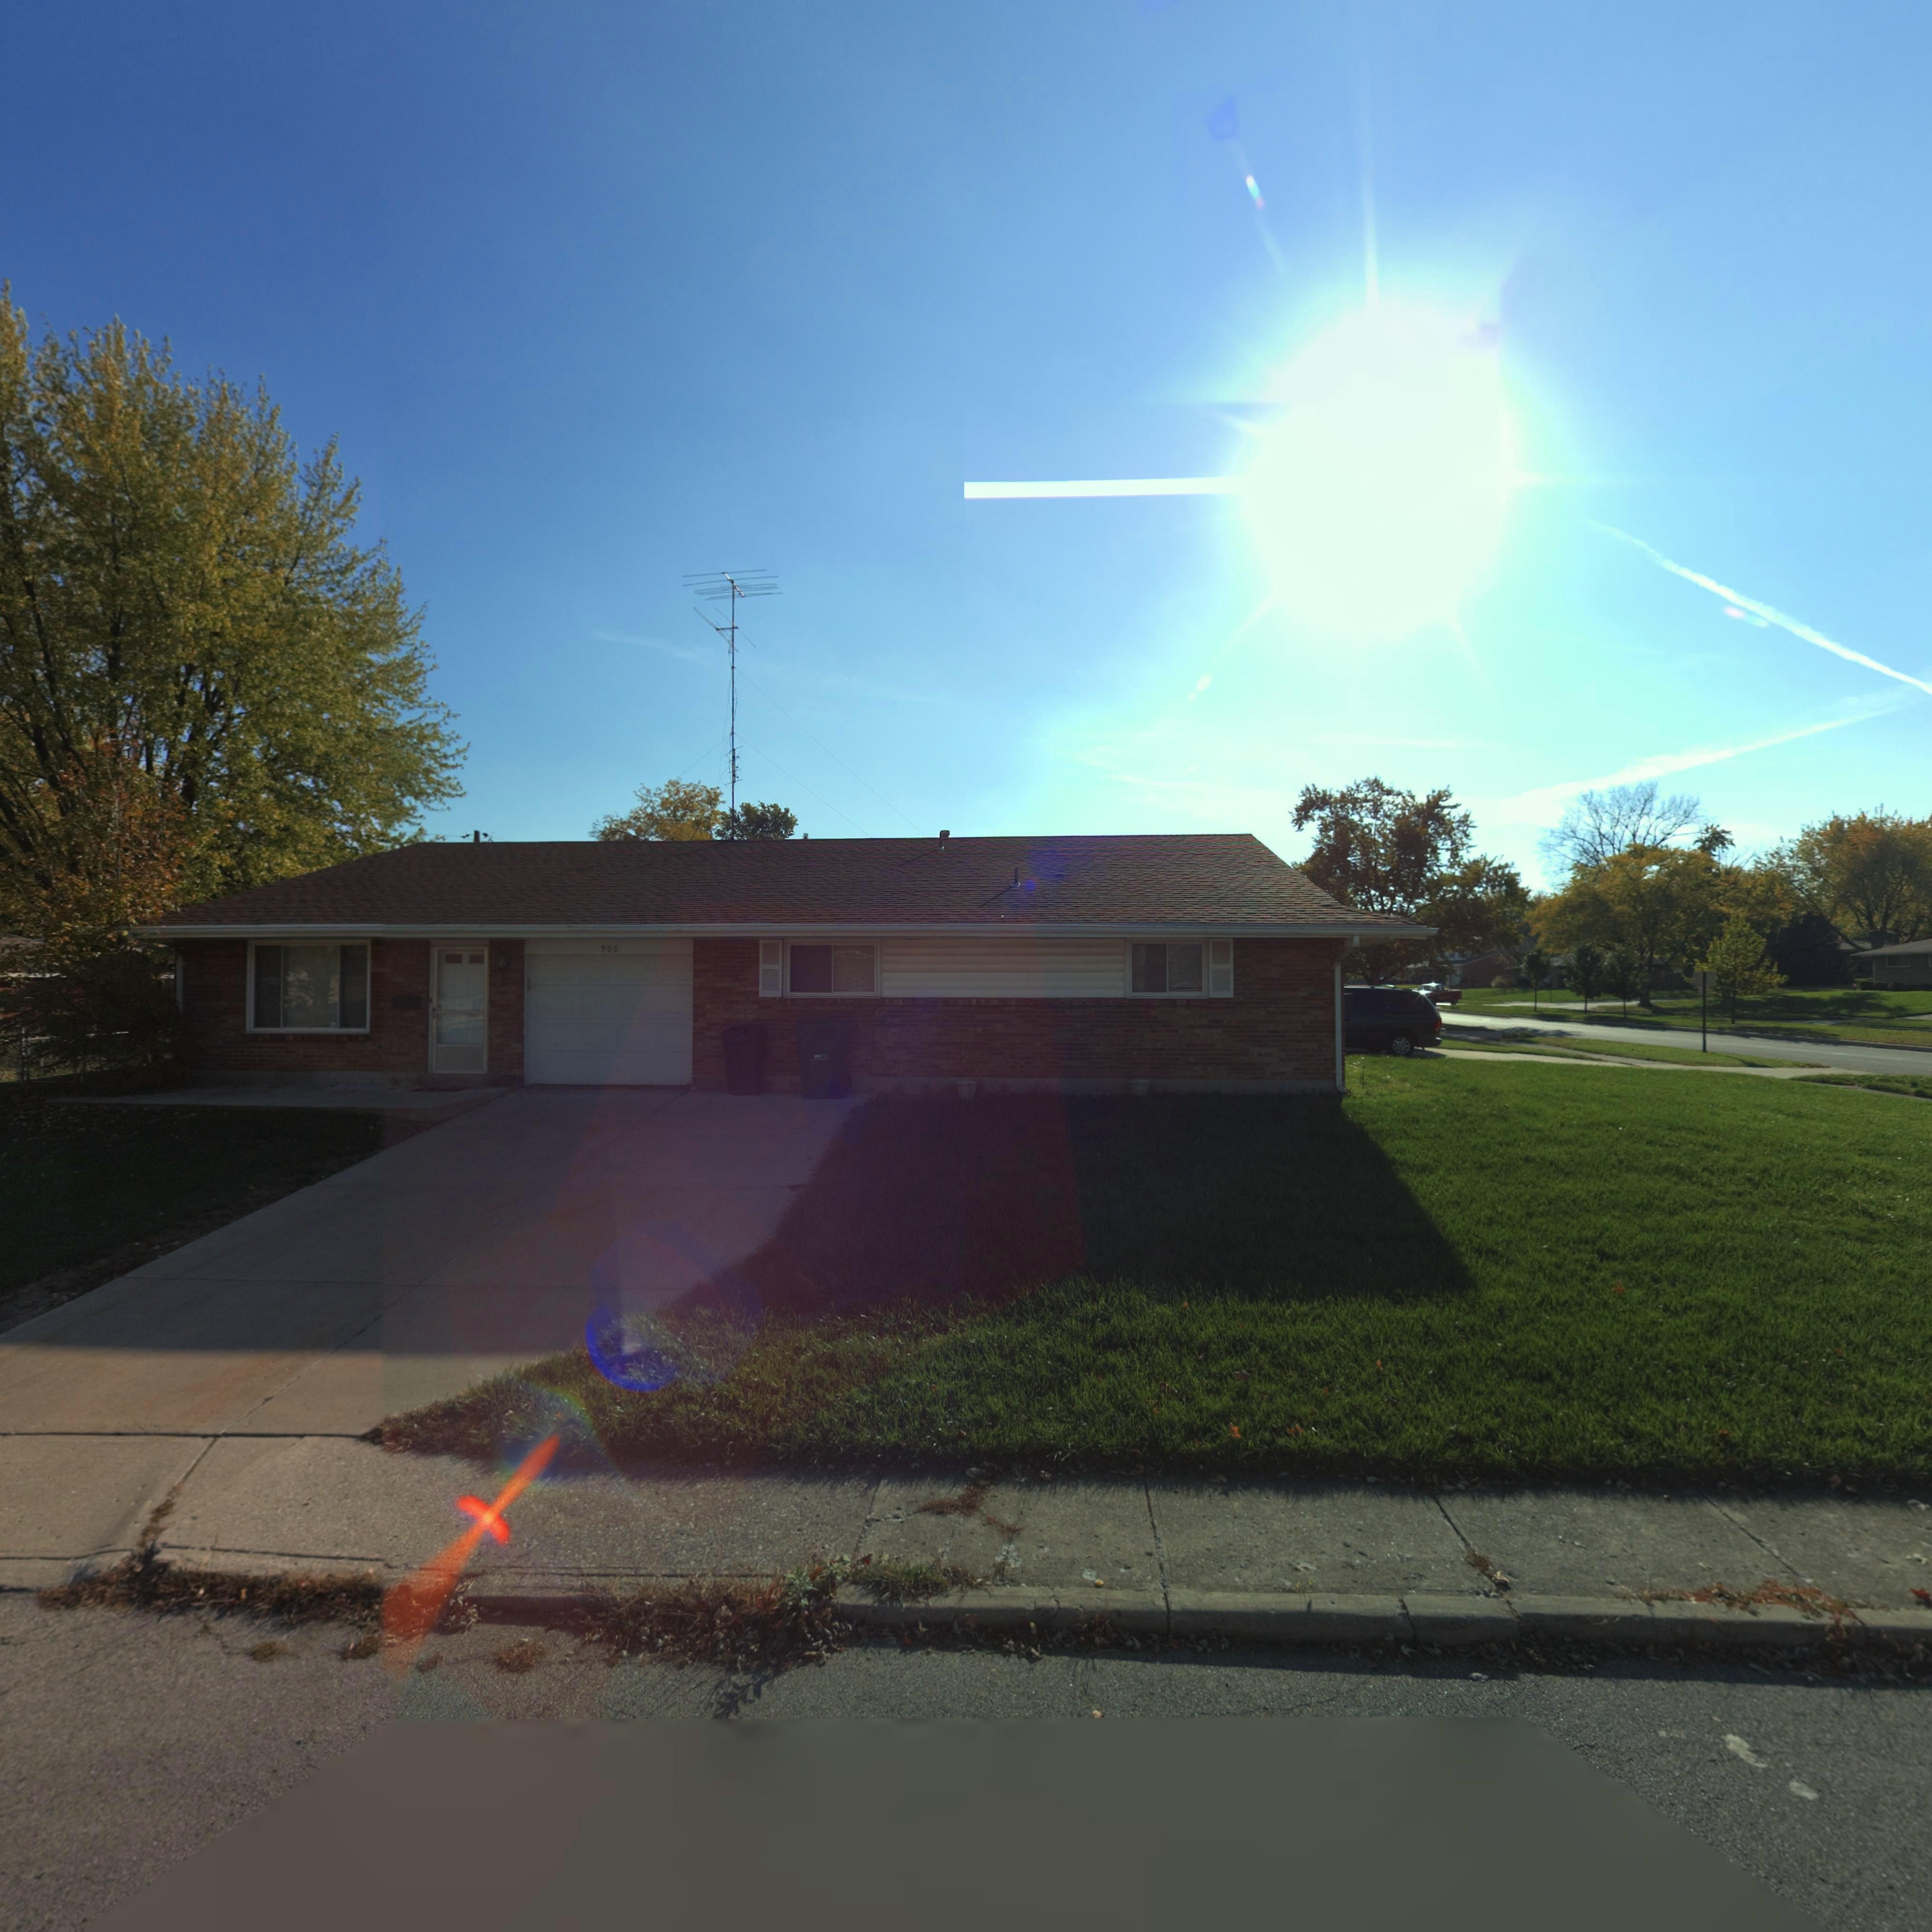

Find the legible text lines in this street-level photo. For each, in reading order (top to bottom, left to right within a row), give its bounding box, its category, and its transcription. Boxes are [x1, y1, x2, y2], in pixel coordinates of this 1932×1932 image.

[600, 944, 618, 953] StreetNumber: 900